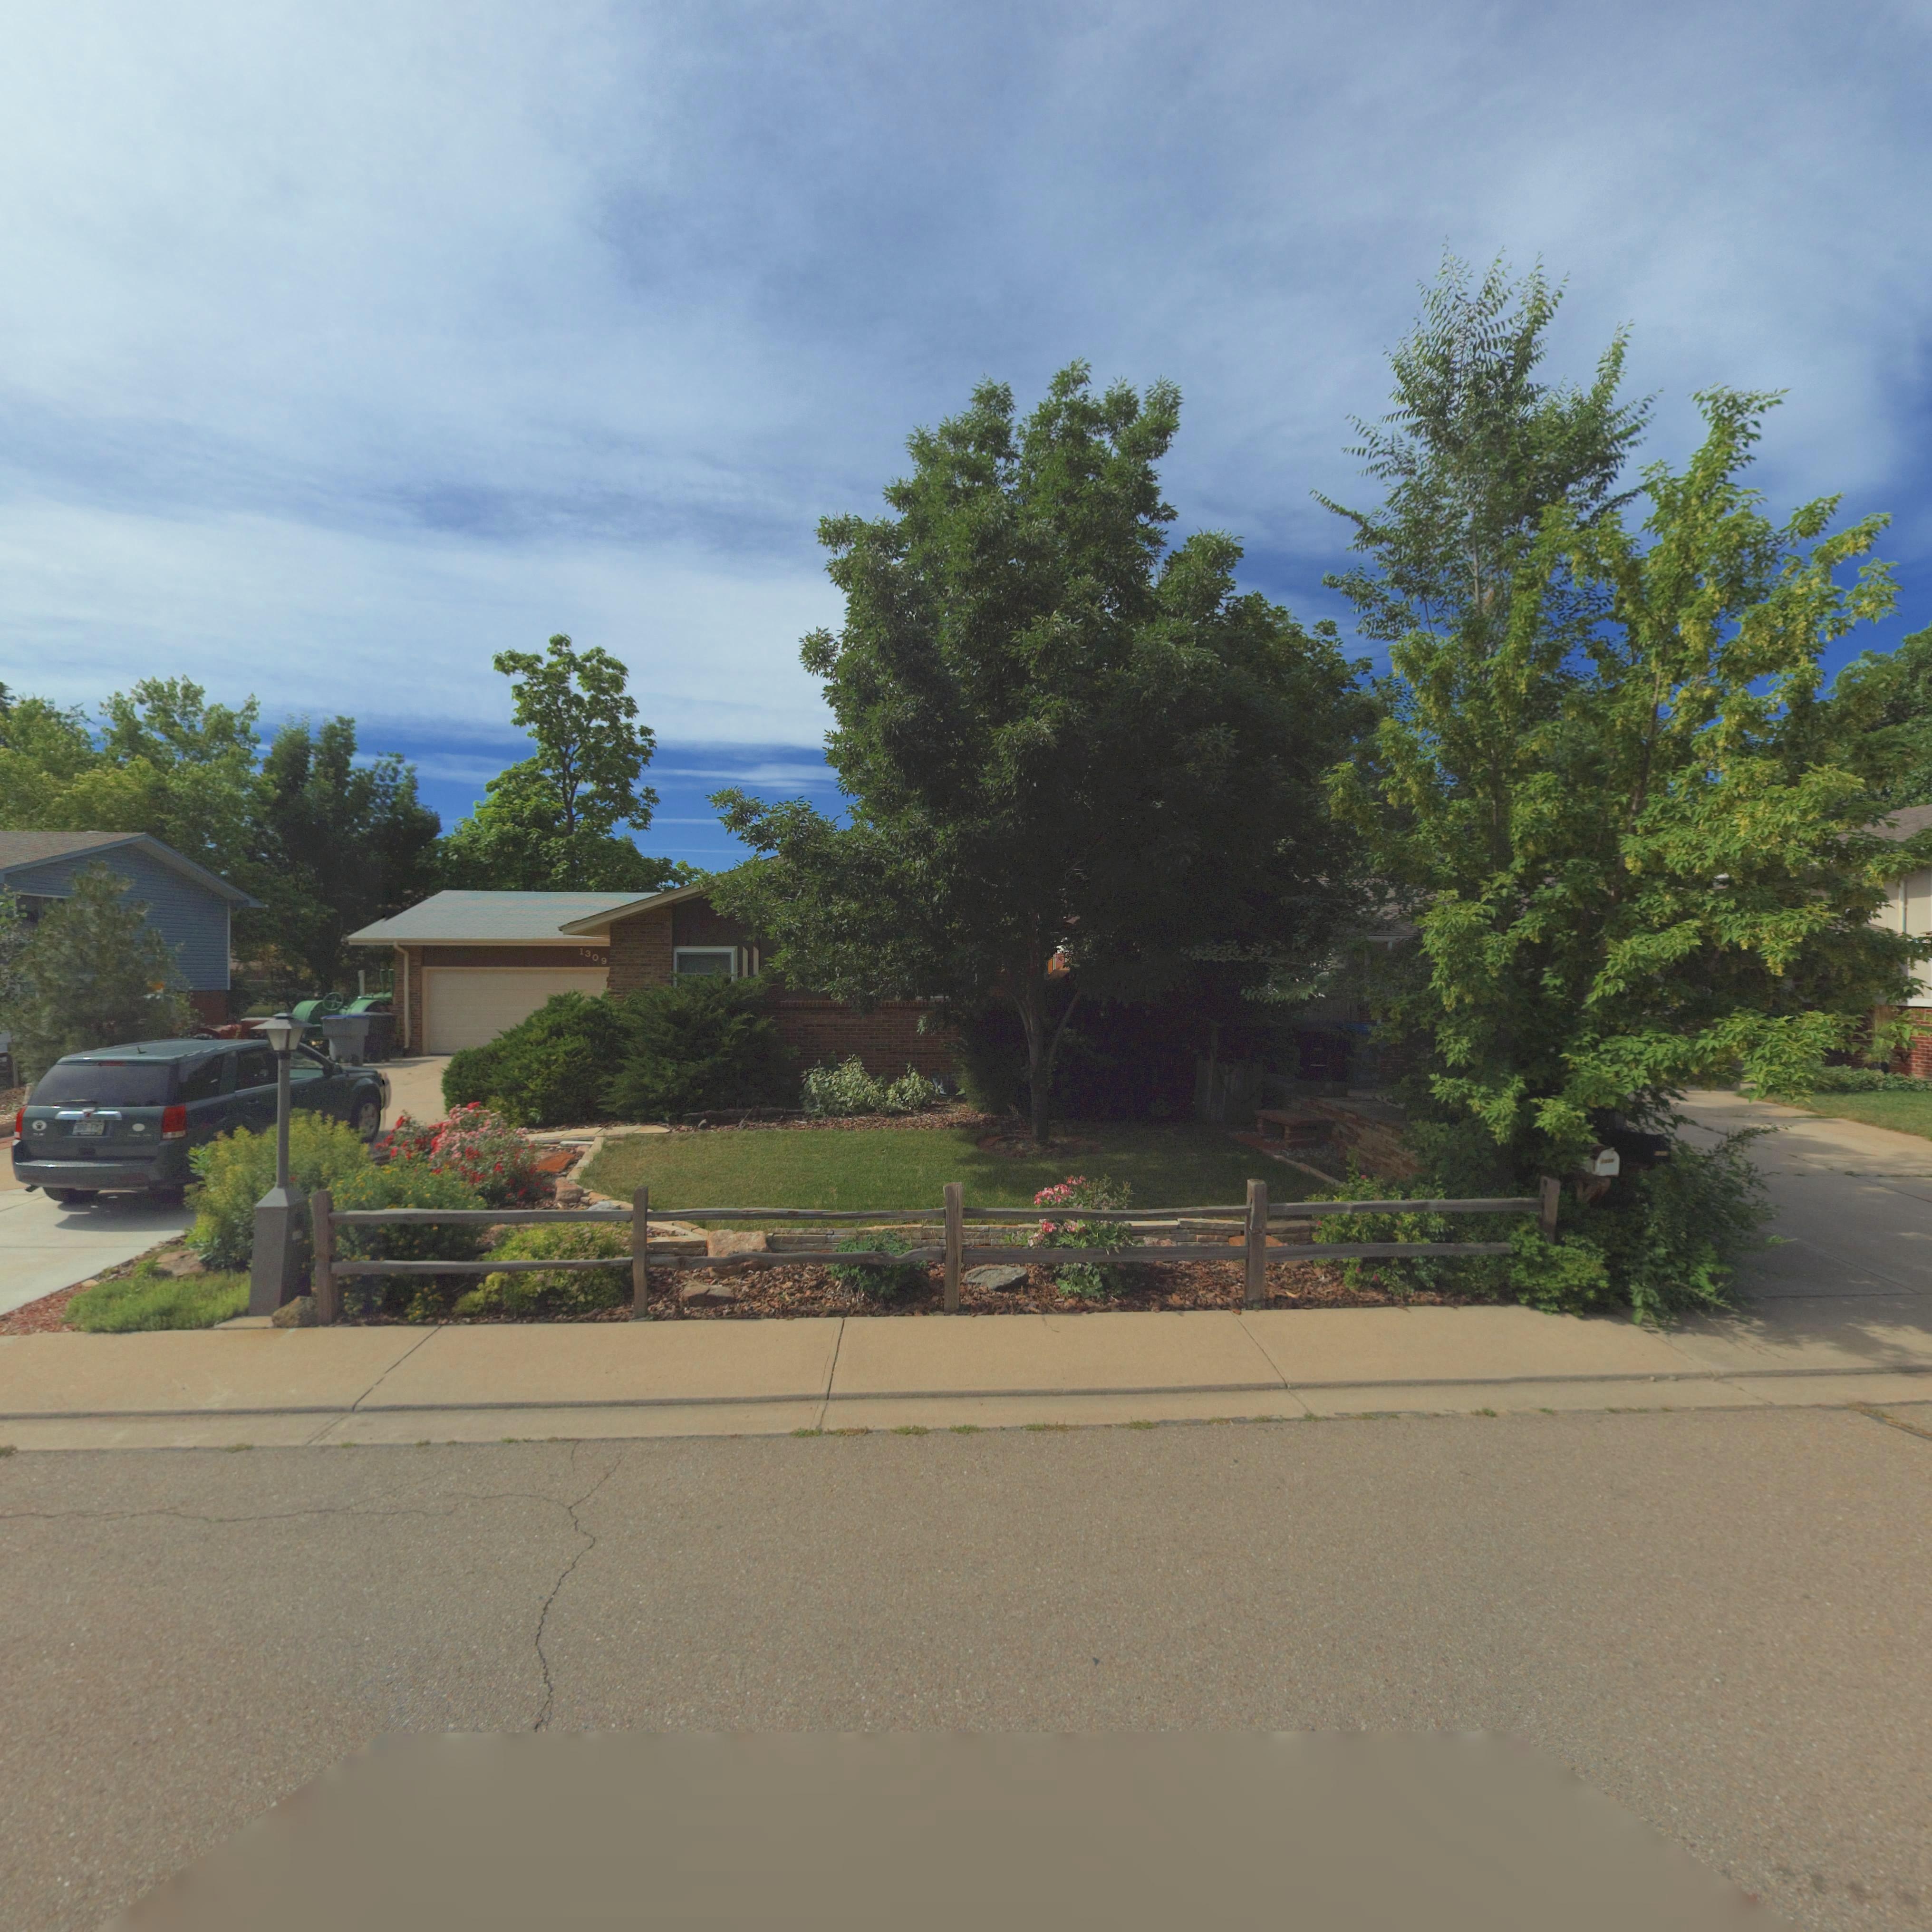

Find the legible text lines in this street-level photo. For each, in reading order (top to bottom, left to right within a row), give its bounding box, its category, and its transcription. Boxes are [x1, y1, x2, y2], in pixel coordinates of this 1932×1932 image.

[579, 947, 607, 965] StreetNumber: 1309